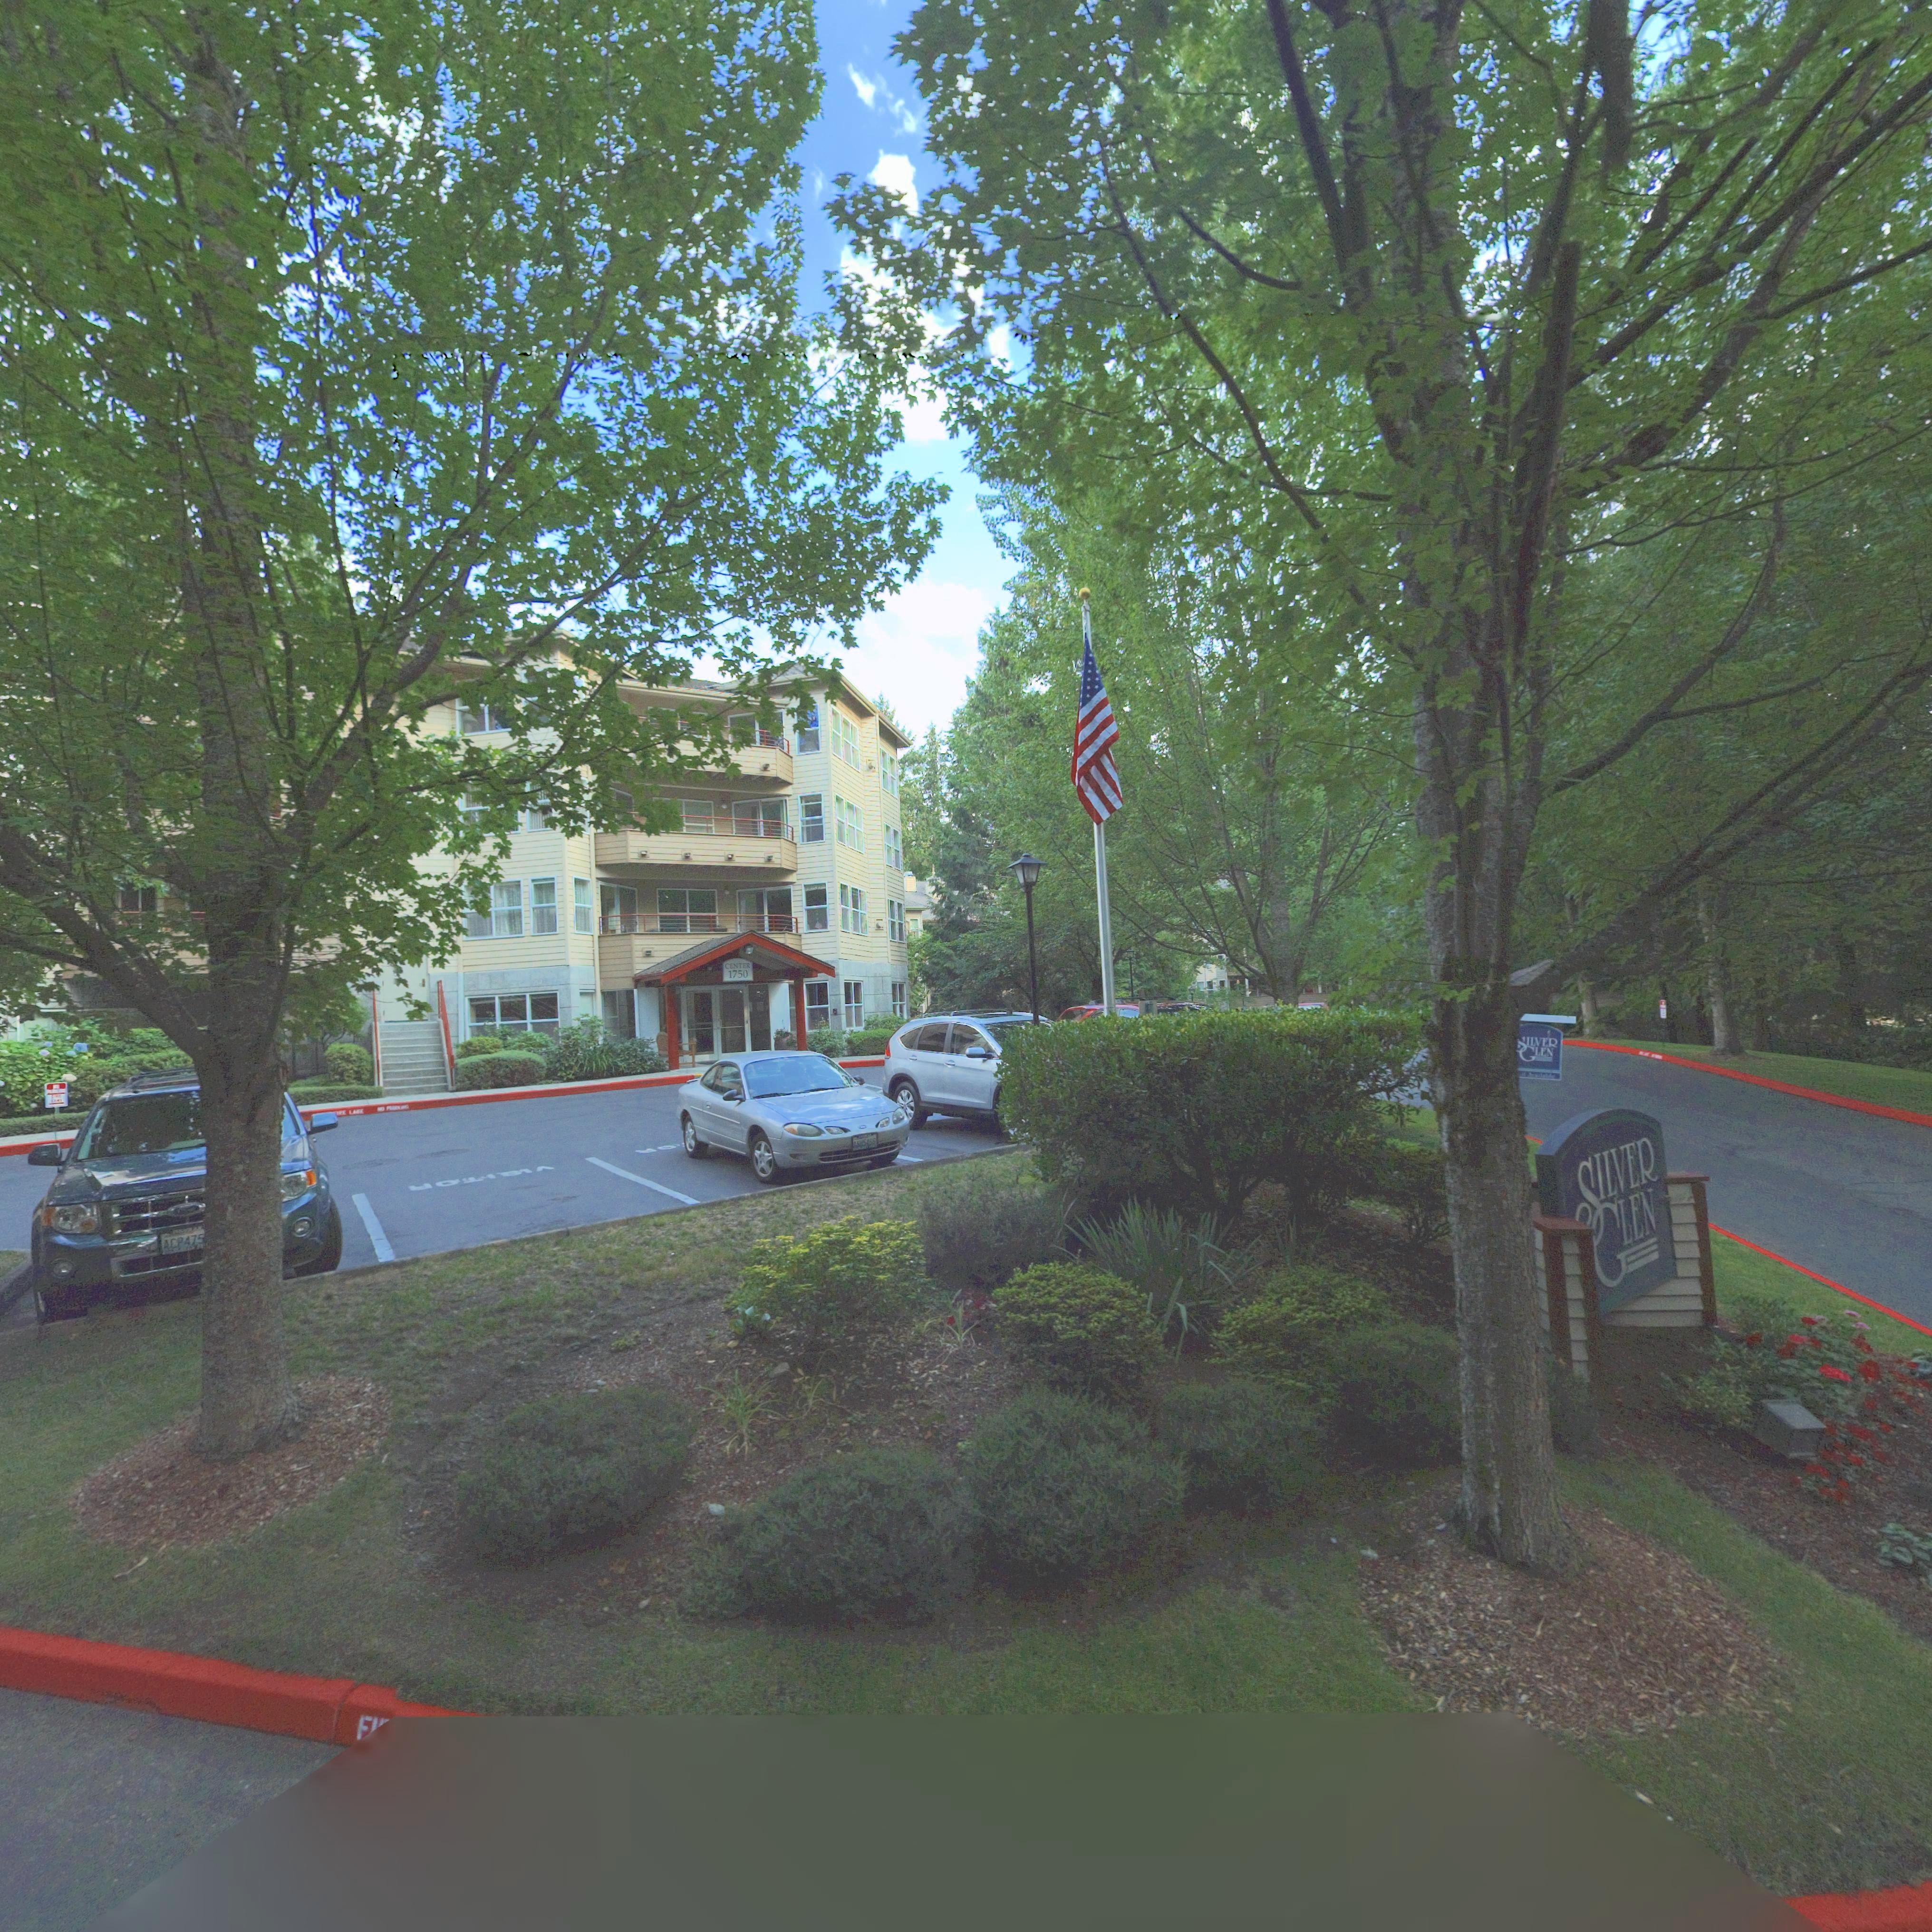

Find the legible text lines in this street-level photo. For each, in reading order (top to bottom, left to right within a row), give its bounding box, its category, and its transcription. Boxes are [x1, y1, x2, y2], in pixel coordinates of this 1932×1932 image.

[724, 962, 751, 969] SecondaryUnitDesignator: CENTER
[728, 969, 748, 978] StreetNumber: 1750
[1572, 1133, 1663, 1265] BusinessName: SILVER
[1585, 1182, 1657, 1291] BusinessName: GLEN